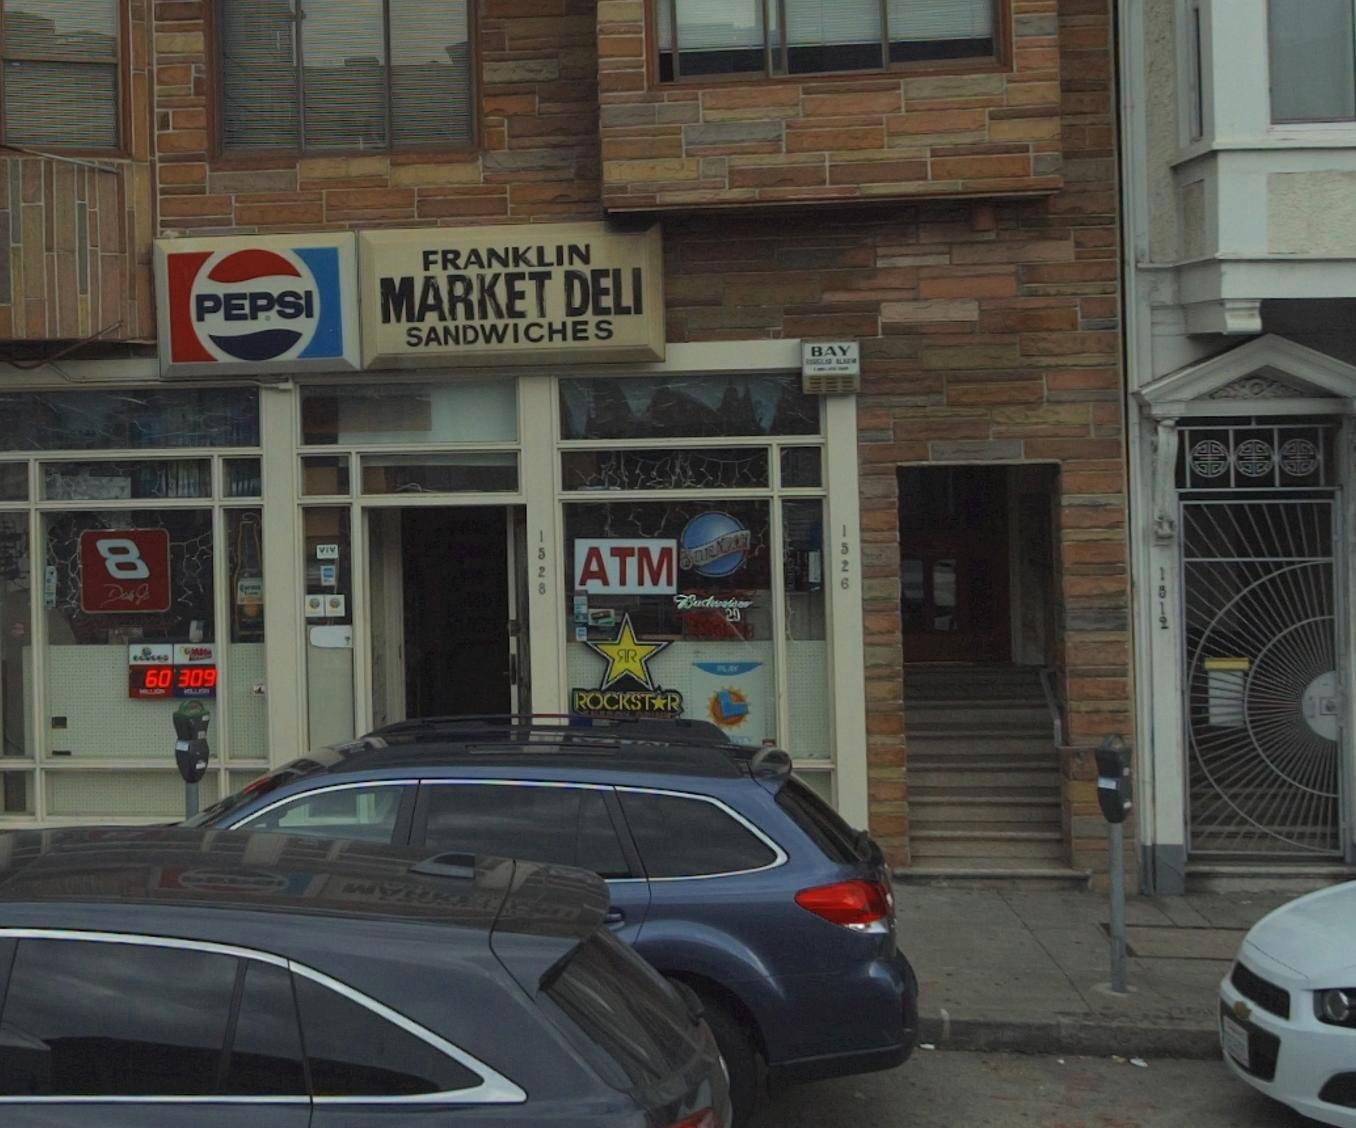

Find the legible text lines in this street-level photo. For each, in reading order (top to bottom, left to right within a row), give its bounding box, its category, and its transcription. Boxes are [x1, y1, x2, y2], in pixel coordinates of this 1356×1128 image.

[420, 242, 592, 273] BusinessName: FRANKLIN
[192, 289, 315, 323] None: PEPSI
[378, 266, 644, 325] BusinessName: MARKET DELI
[405, 319, 614, 349] BusinessName: SANDWICHES
[810, 344, 852, 358] None: BAY
[91, 538, 154, 580] None: 8
[318, 546, 336, 554] None: VIV
[537, 529, 546, 596] StreetNumber: 1528
[578, 546, 673, 586] None: ATM
[840, 523, 849, 591] StreetNumber: 1526
[1157, 566, 1169, 632] StreetNumber: 1512
[724, 607, 742, 623] None: 2*
[626, 648, 637, 664] None: R
[144, 669, 172, 688] None: 60
[177, 669, 217, 688] None: 309
[574, 691, 680, 712] None: ROCKST*R